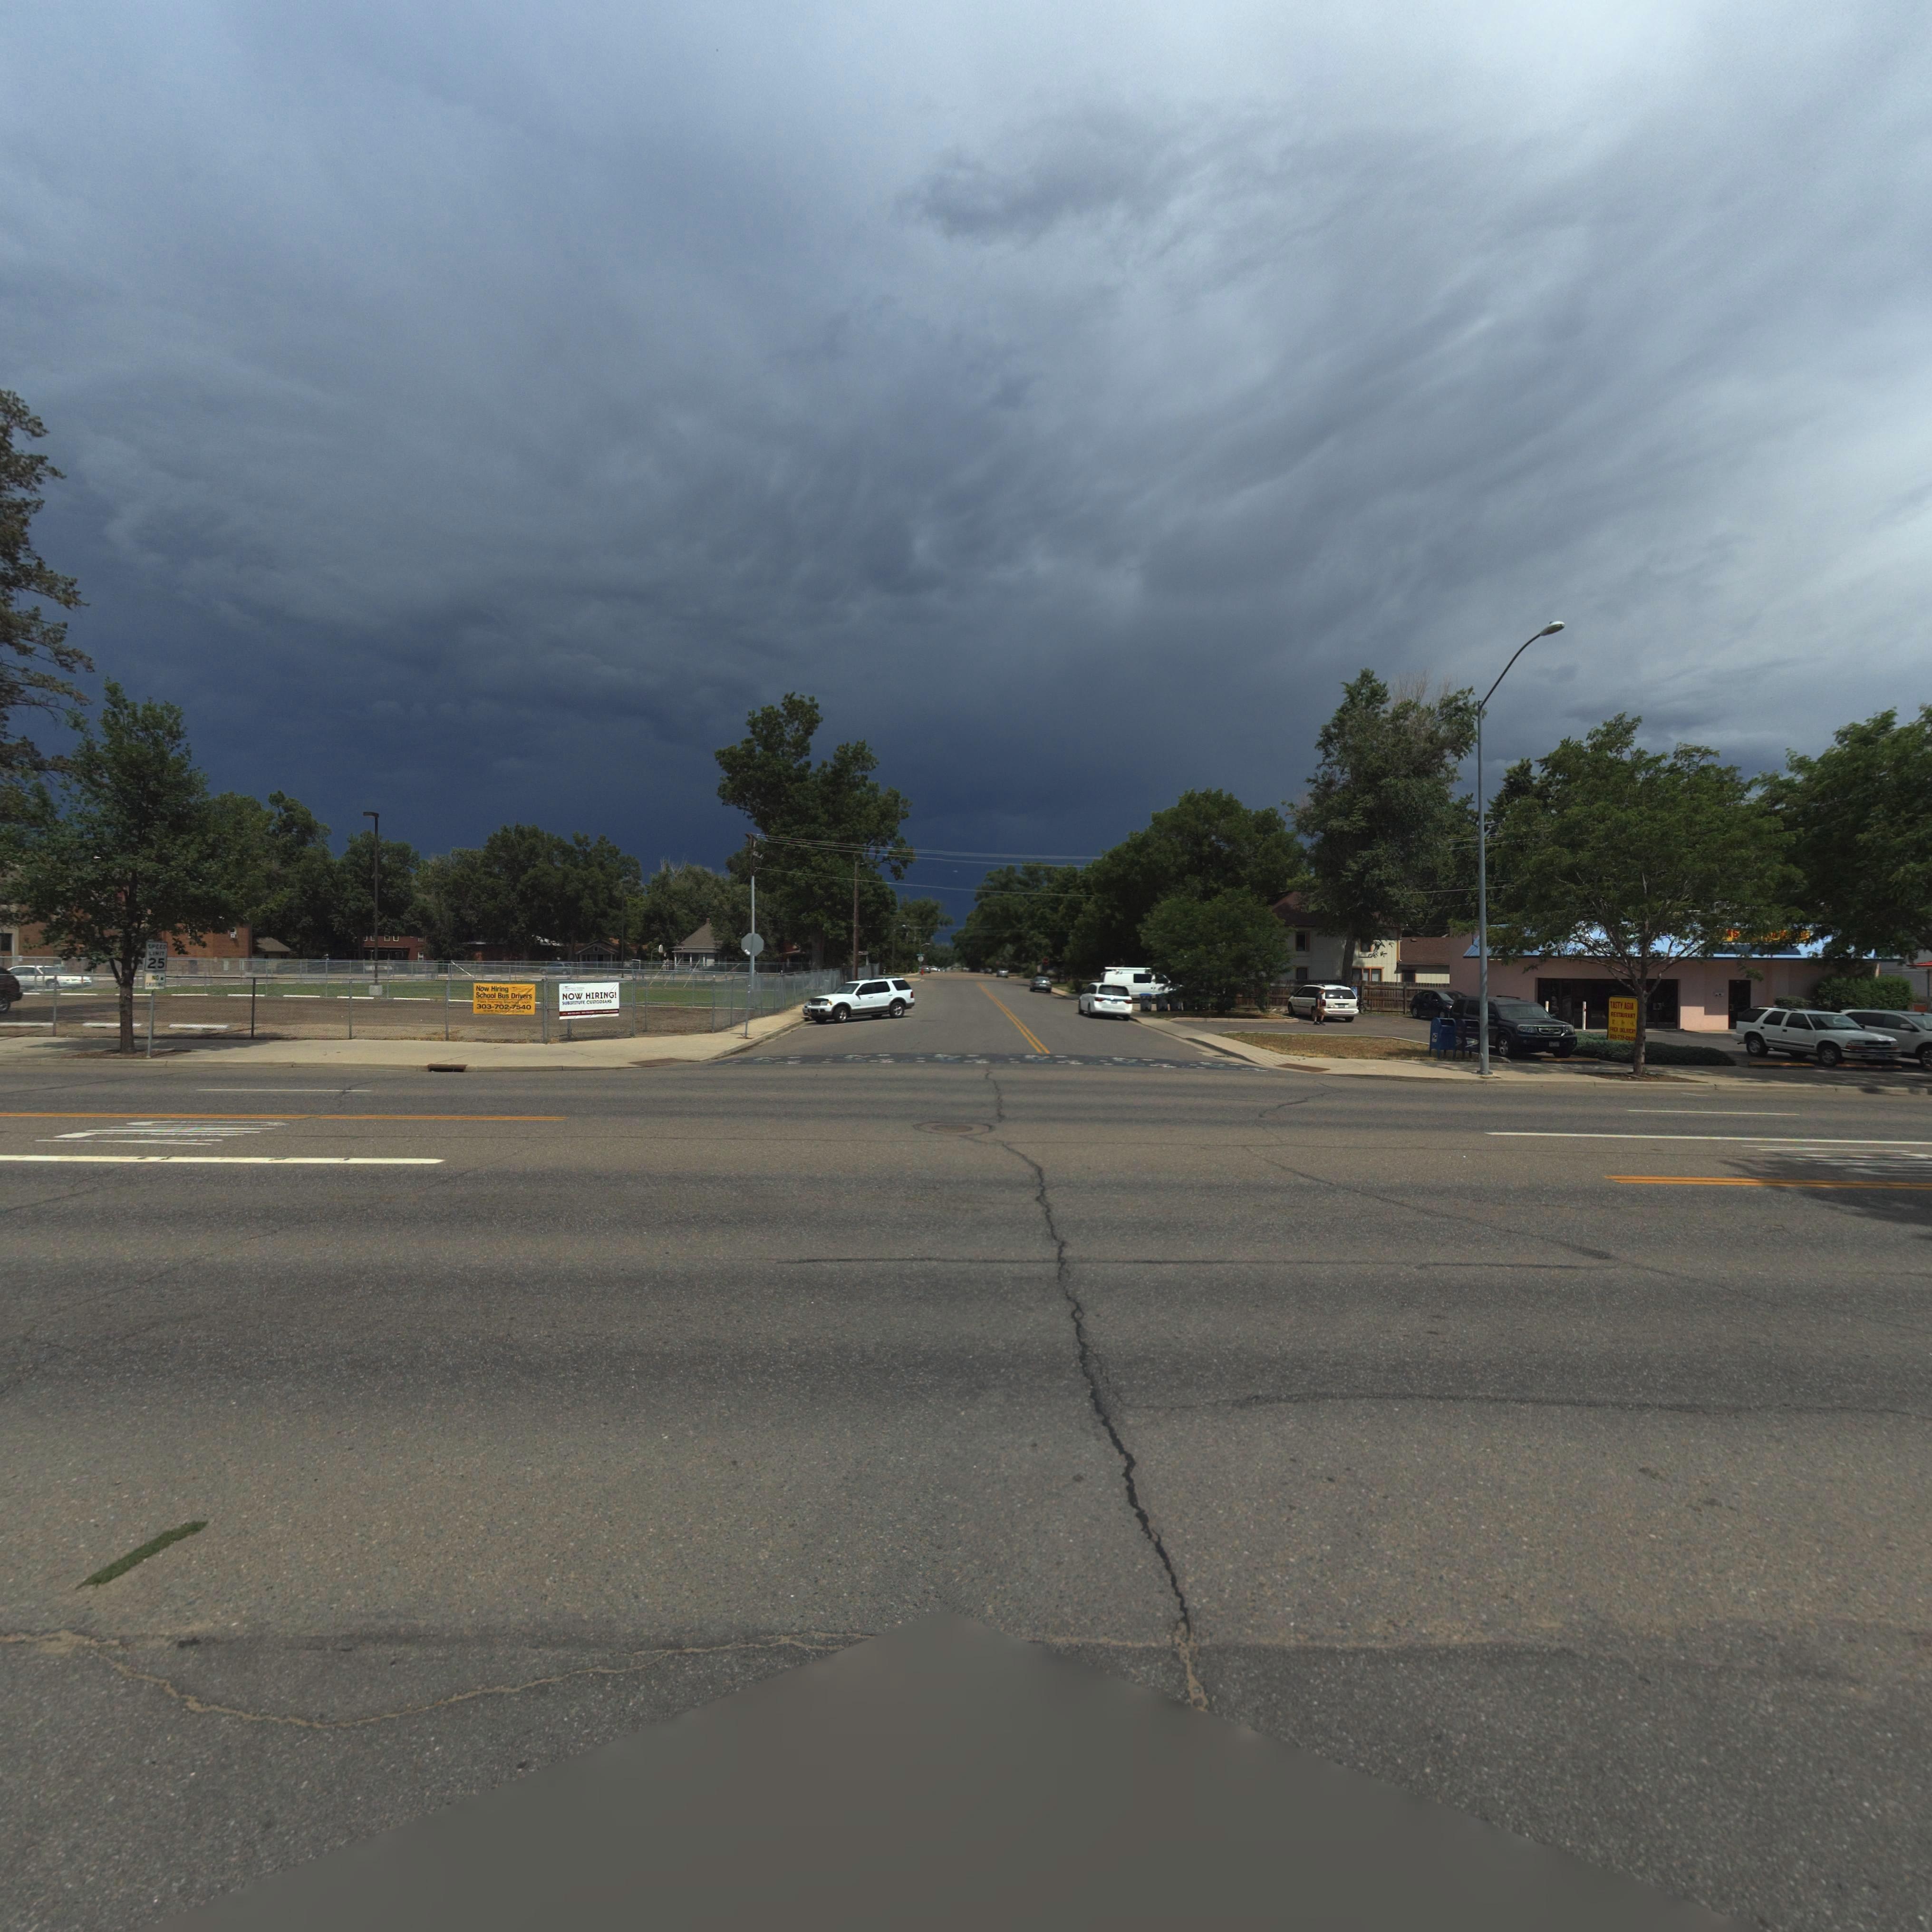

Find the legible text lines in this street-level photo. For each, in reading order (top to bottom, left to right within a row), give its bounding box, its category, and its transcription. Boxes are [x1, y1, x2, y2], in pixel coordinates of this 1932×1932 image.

[1727, 928, 1739, 937] BusinessName: *S
[1610, 1000, 1634, 1010] BusinessName: TASTY ASIA
[1610, 1011, 1636, 1019] BusinessName: RESTAURANT